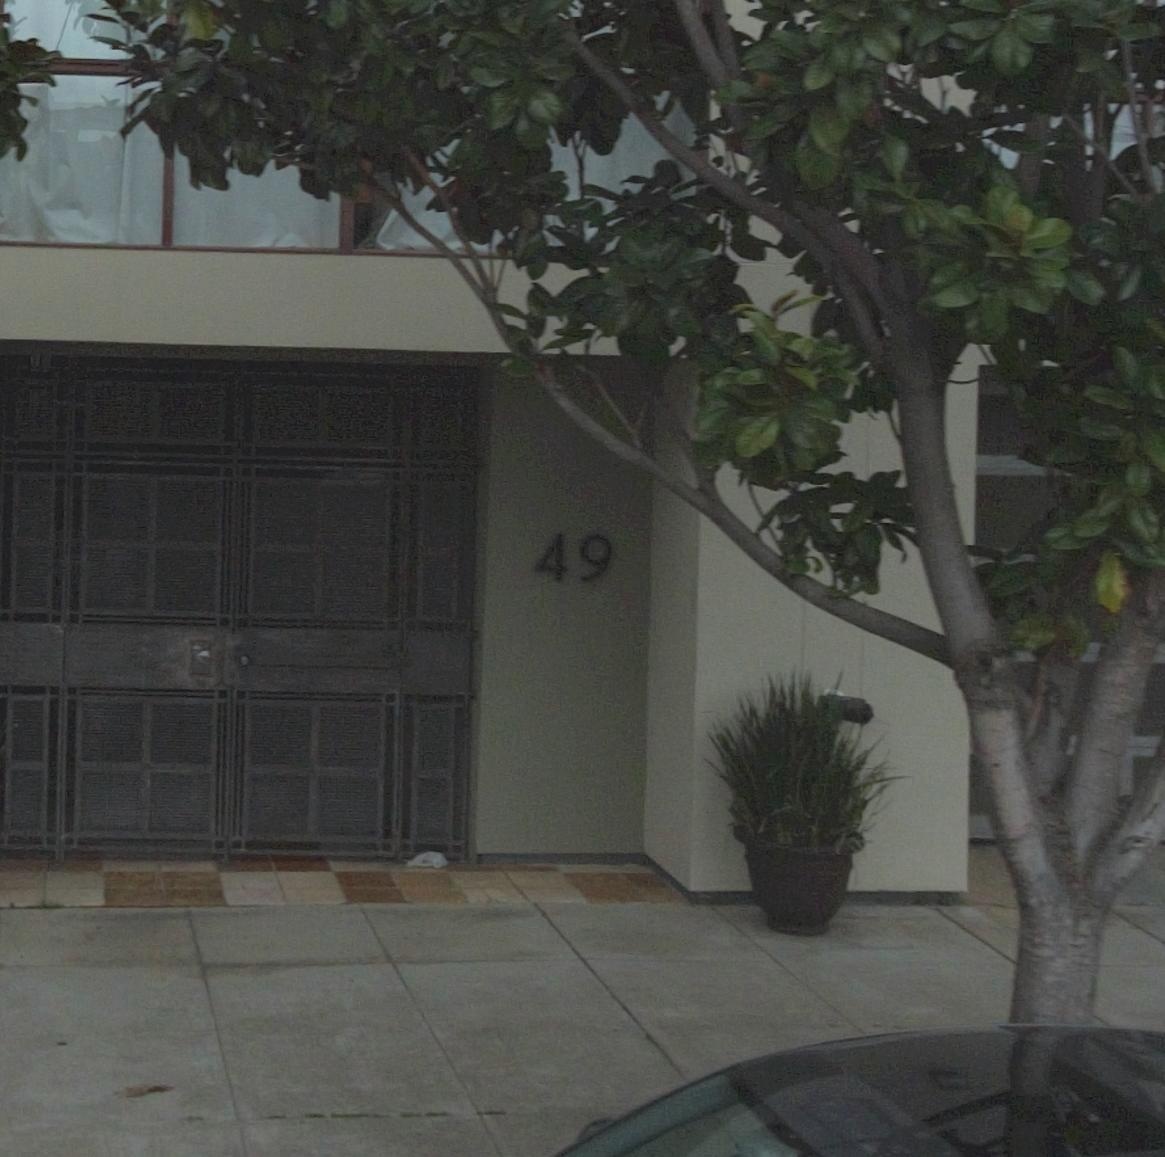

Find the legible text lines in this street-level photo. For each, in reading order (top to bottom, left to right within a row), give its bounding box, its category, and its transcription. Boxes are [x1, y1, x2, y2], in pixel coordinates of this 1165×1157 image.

[531, 531, 614, 585] StreetNumber: 49